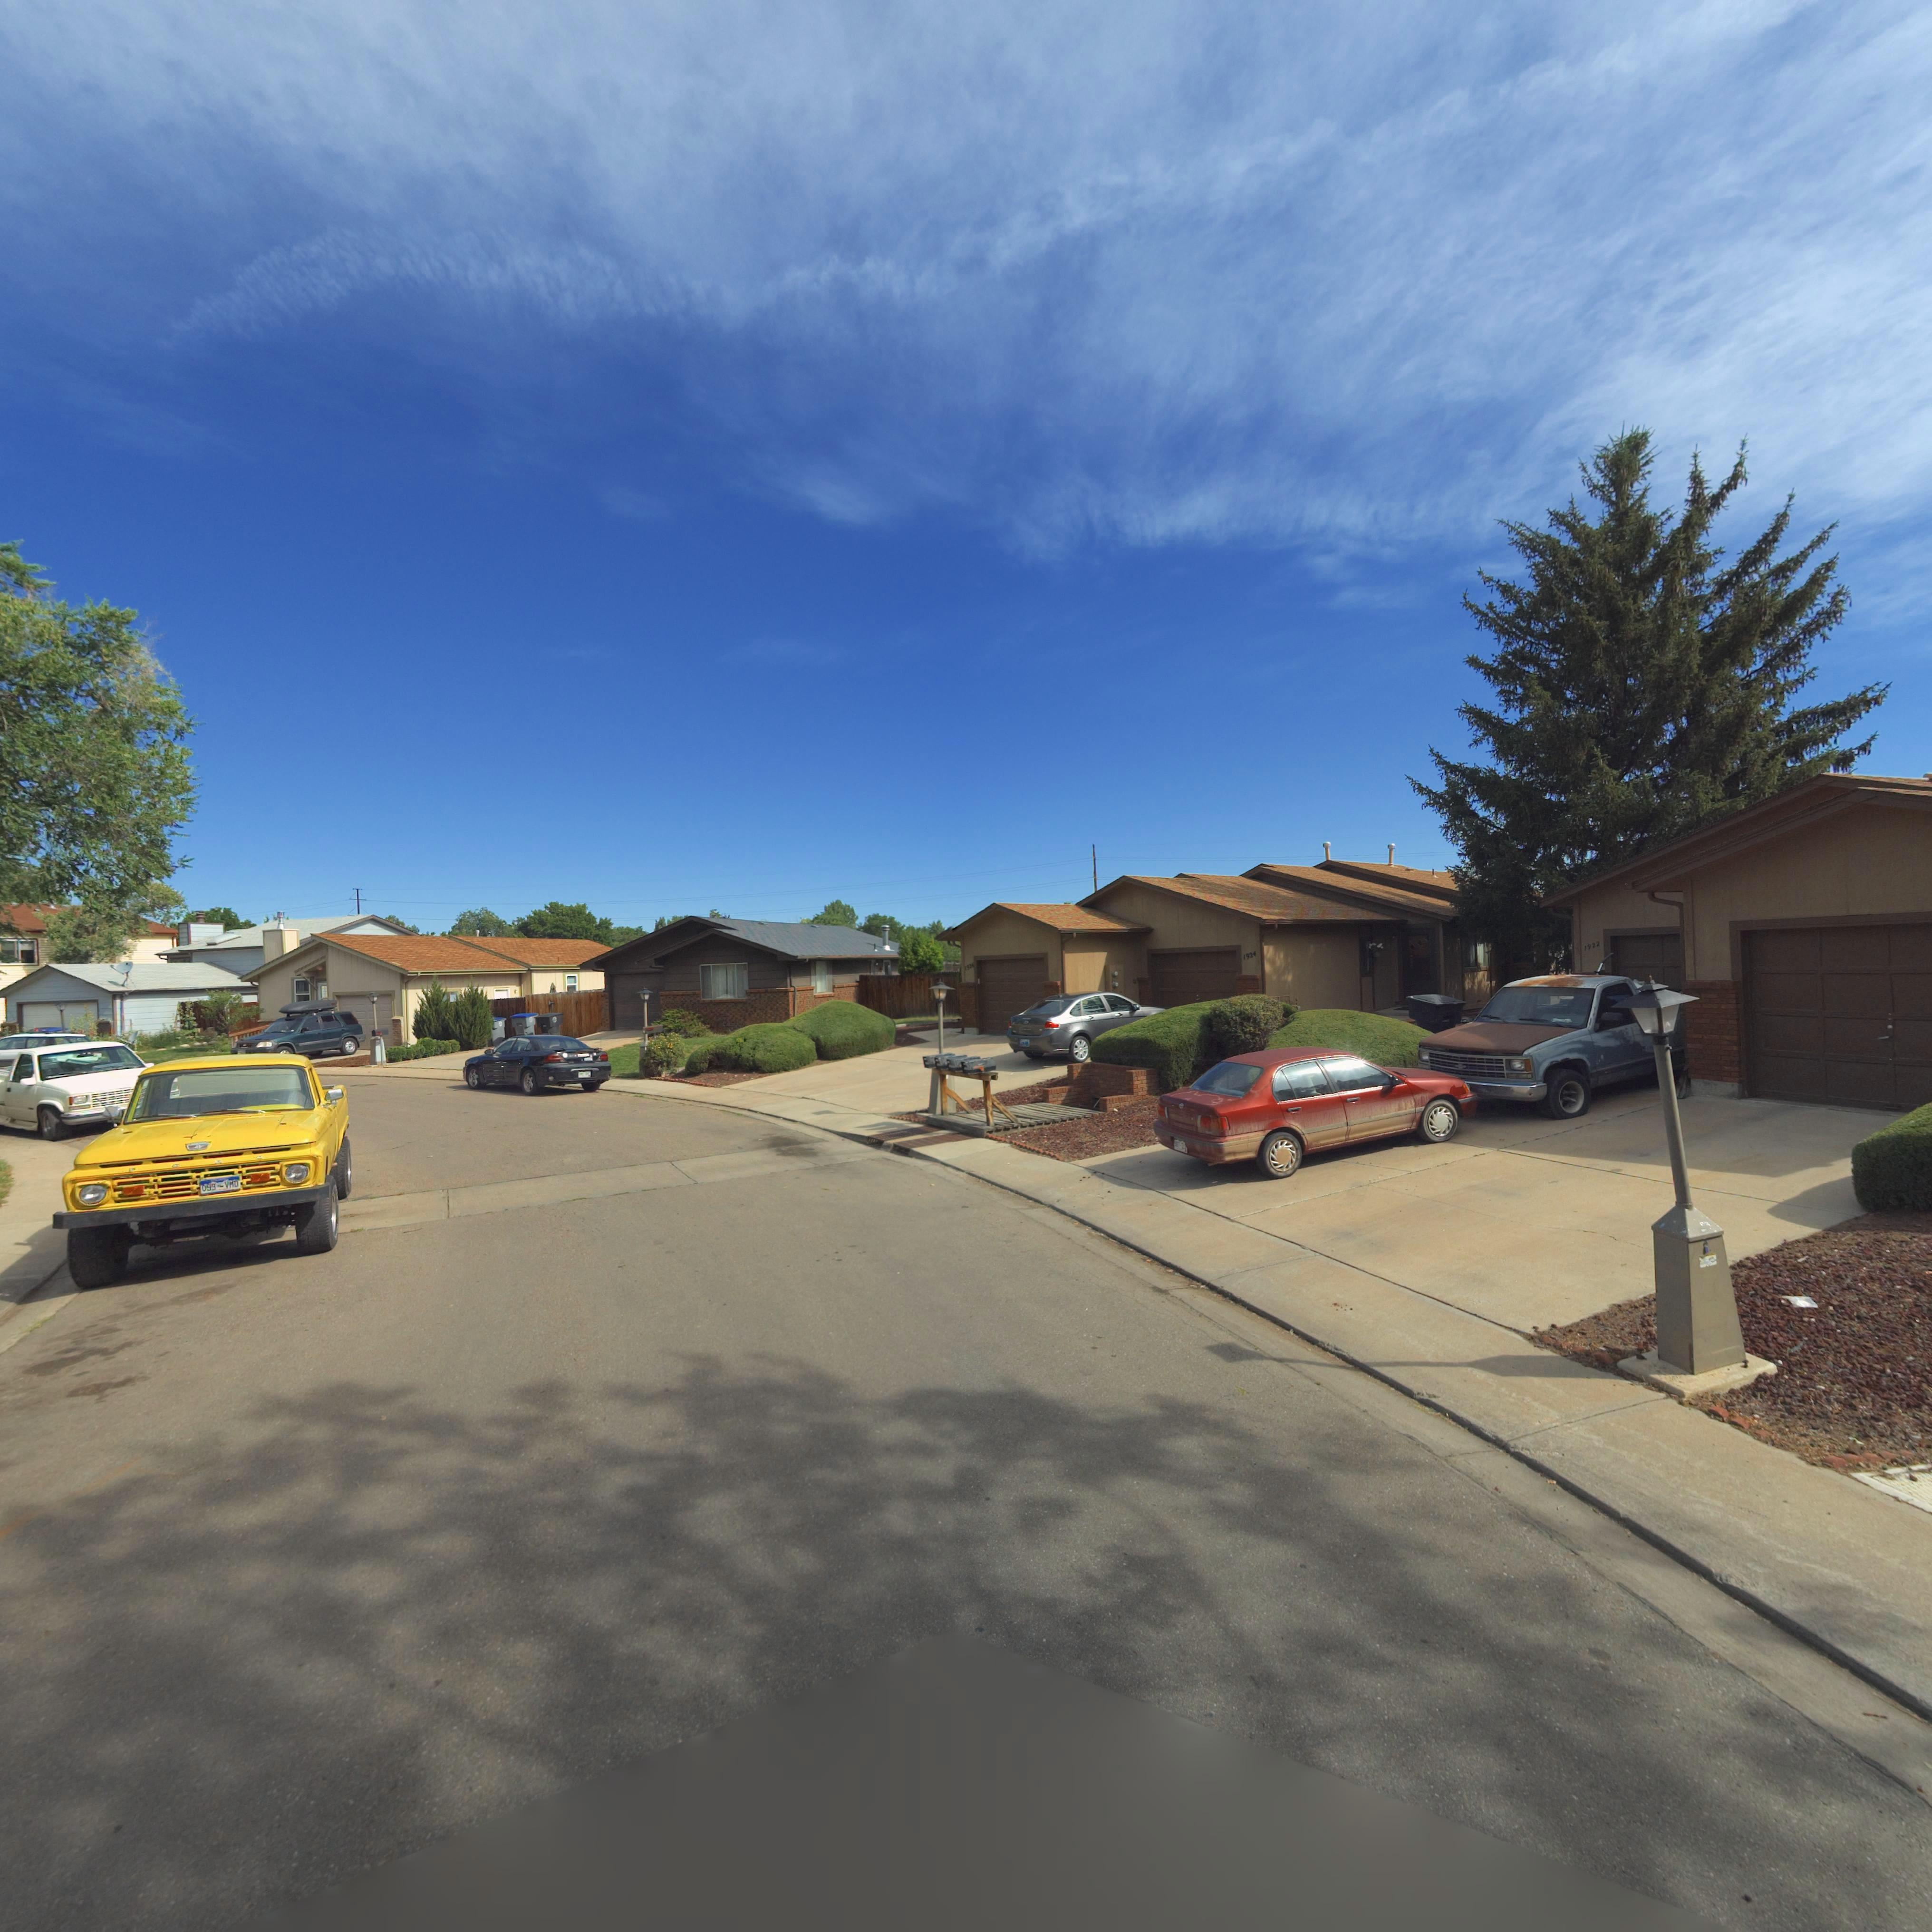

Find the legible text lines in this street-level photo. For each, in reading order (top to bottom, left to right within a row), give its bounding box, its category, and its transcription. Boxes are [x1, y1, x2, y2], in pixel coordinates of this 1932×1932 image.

[1584, 940, 1600, 951] StreetNumber: 1922
[1243, 950, 1256, 961] StreetNumber: 1924
[964, 961, 976, 971] StreetNumber: 1926